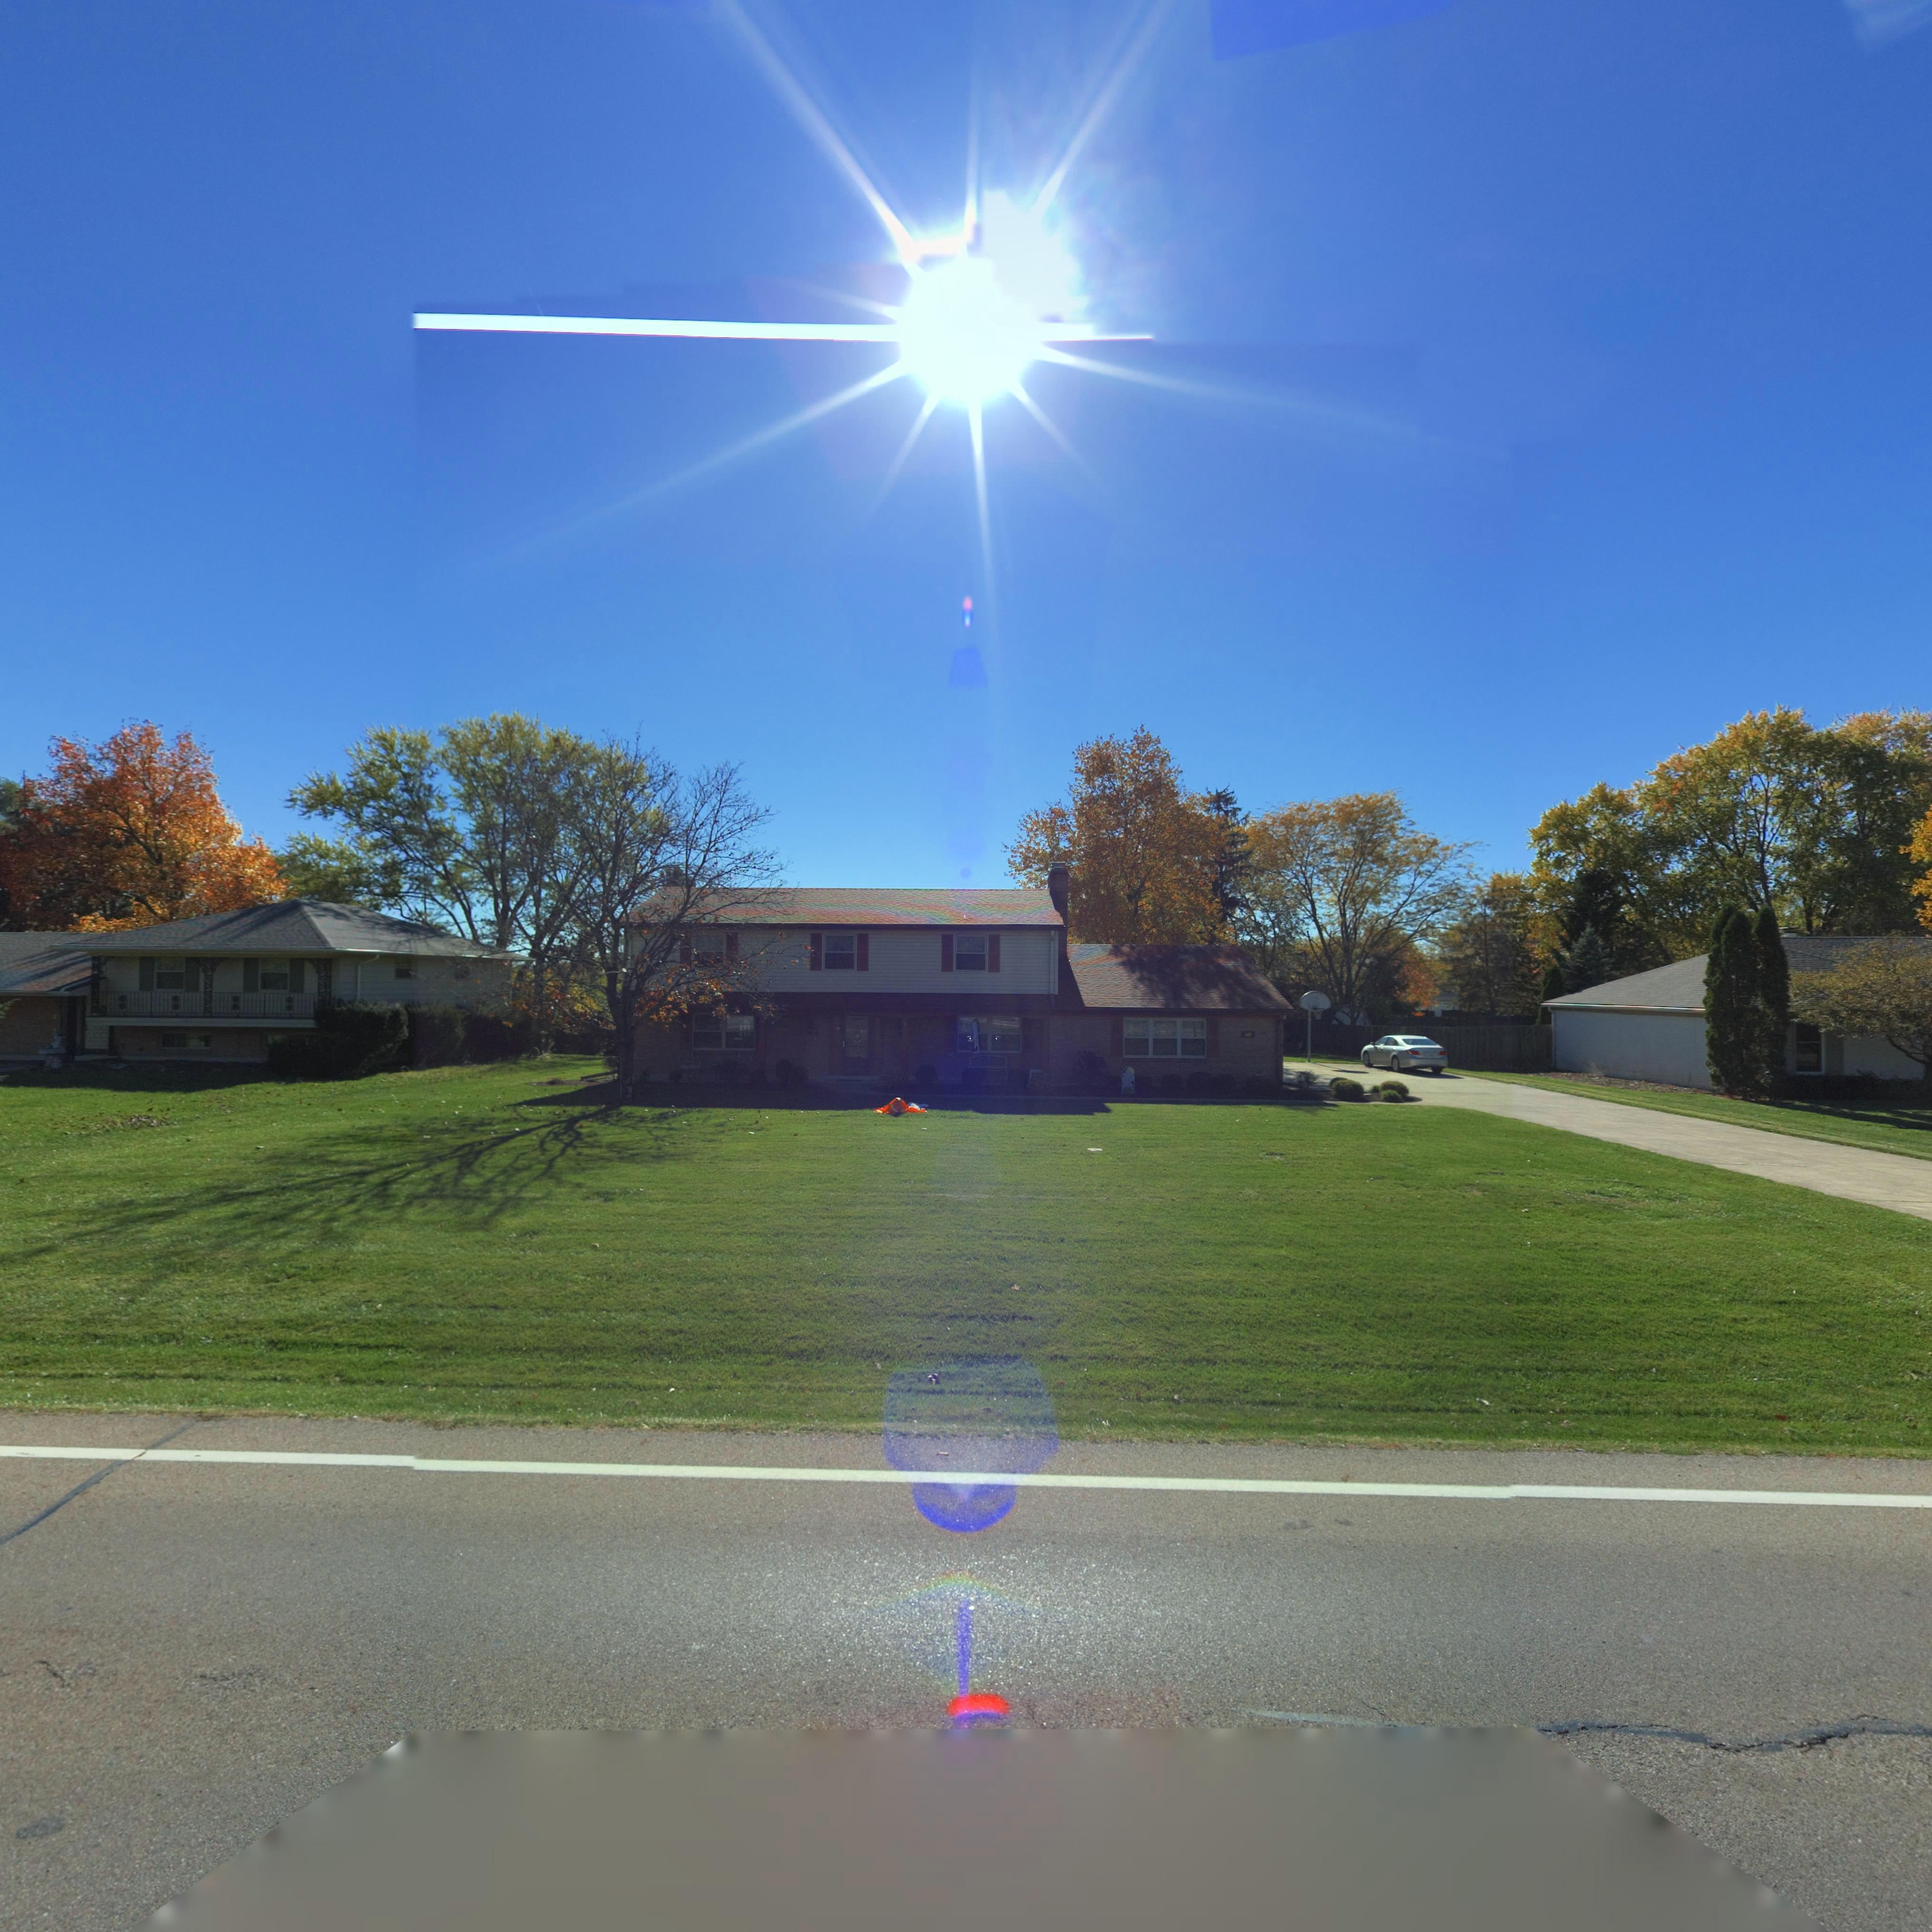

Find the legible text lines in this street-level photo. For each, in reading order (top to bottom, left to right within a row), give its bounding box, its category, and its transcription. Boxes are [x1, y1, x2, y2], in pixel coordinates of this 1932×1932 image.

[1245, 1032, 1252, 1037] StreetNumber: 5*2